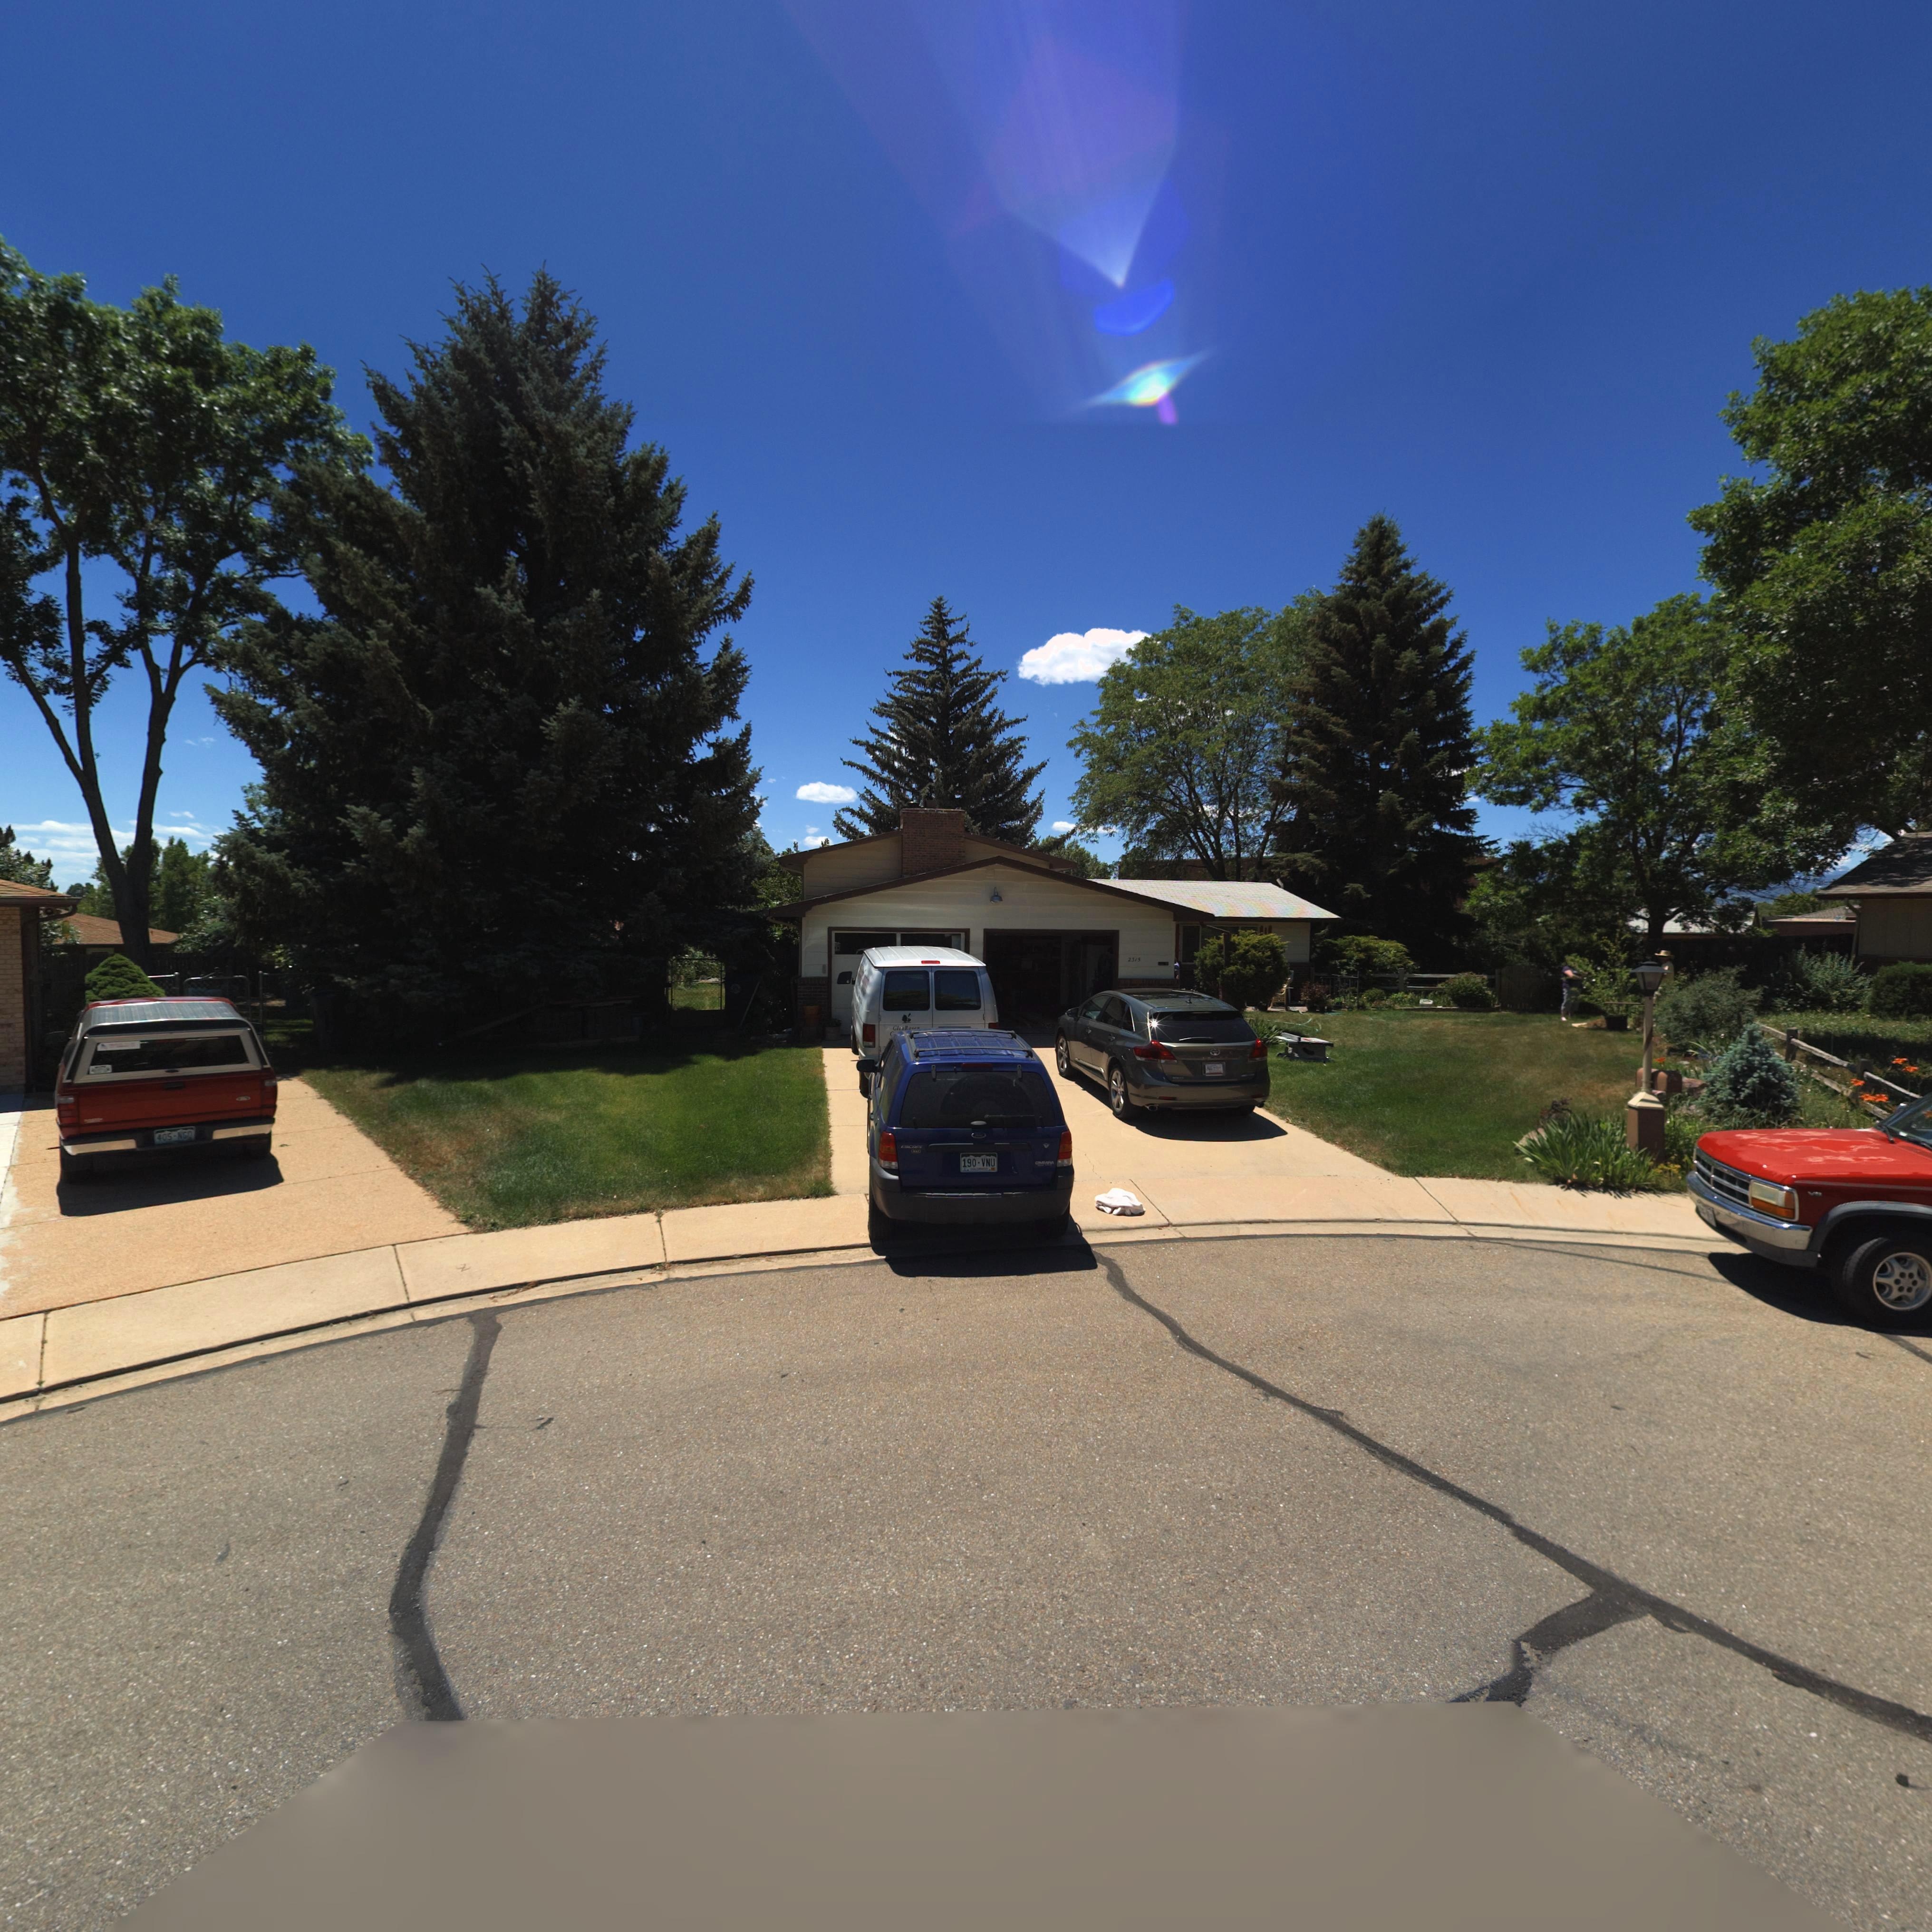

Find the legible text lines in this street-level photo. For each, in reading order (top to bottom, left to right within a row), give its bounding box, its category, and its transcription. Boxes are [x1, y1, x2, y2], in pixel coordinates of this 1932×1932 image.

[1127, 956, 1140, 962] StreetNumber: 2315